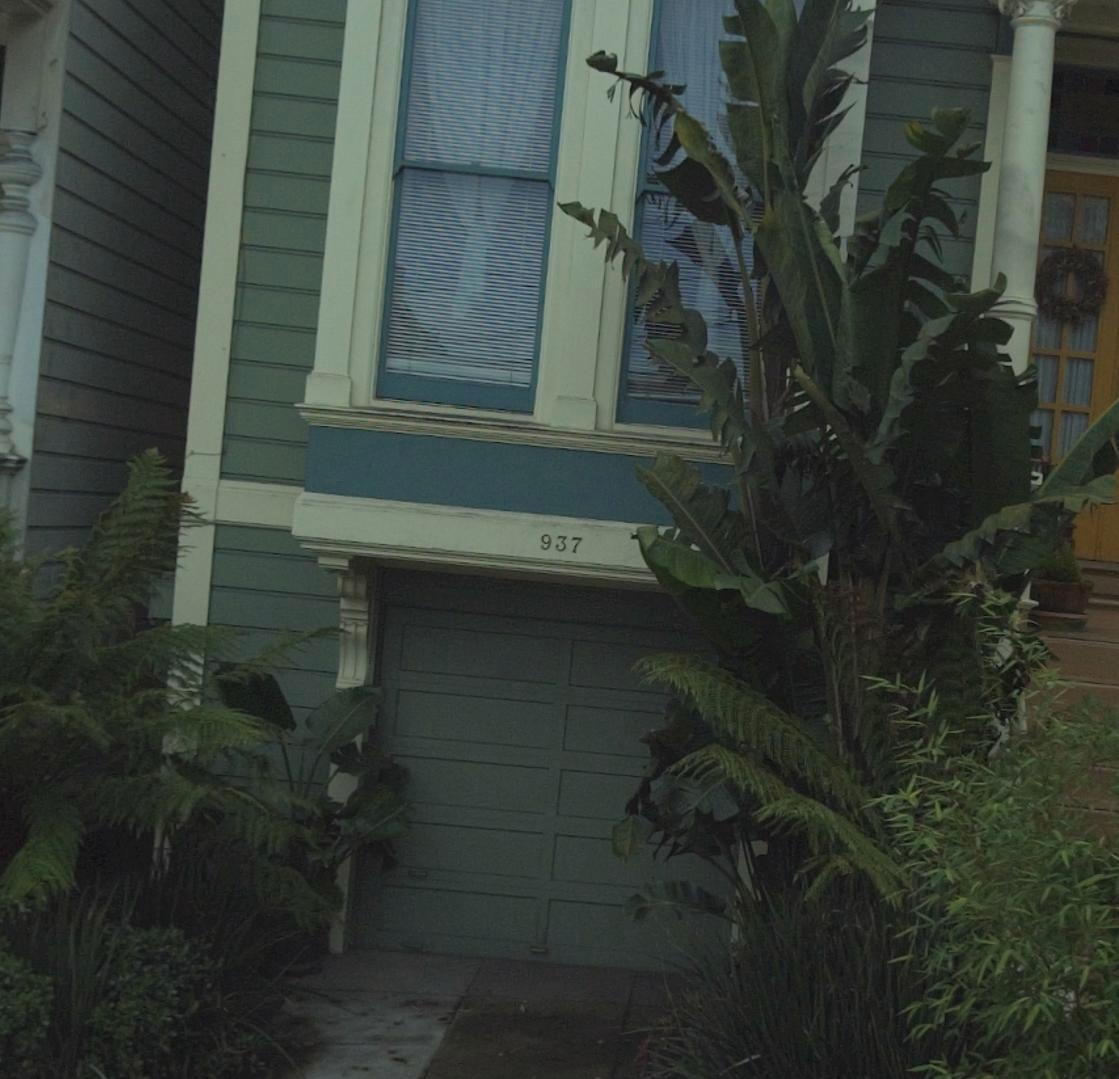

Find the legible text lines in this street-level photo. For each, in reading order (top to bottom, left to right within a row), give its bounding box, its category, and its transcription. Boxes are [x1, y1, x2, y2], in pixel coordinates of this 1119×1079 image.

[539, 532, 586, 556] StreetNumber: 937